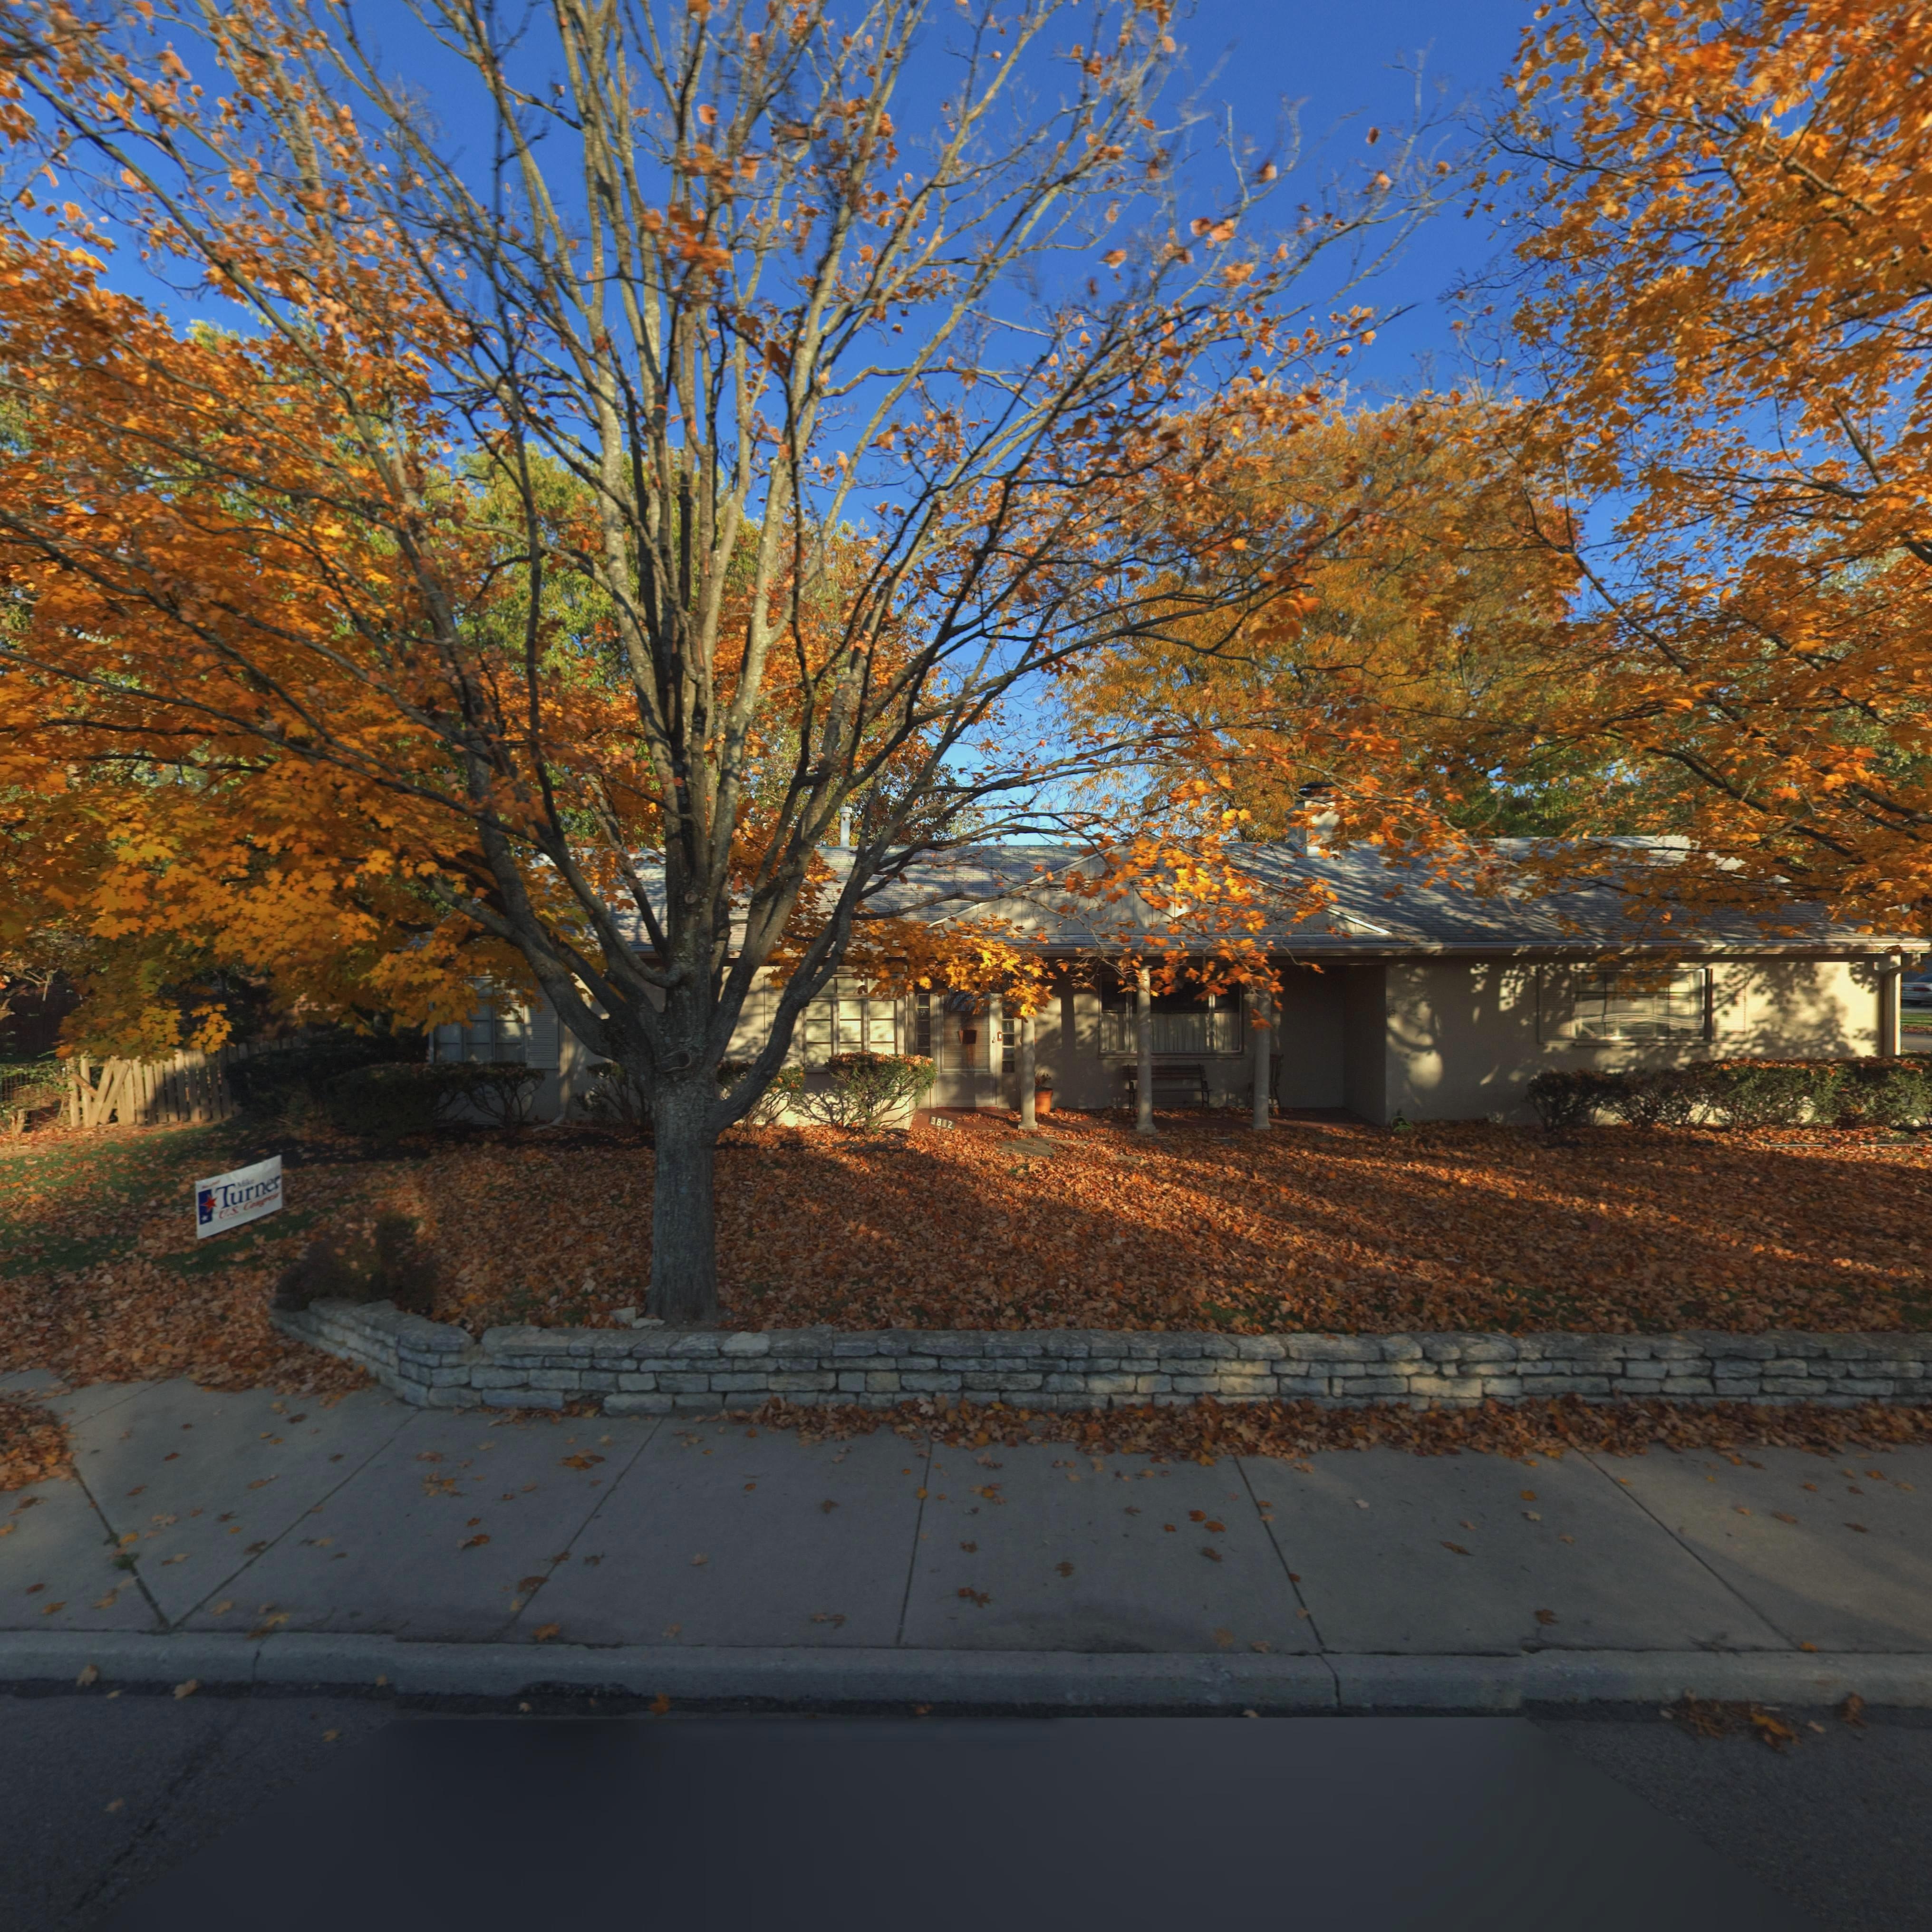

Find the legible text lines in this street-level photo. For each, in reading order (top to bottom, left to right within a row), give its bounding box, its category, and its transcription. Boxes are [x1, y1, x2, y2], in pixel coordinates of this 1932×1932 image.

[929, 1116, 953, 1130] StreetNumber: 3812